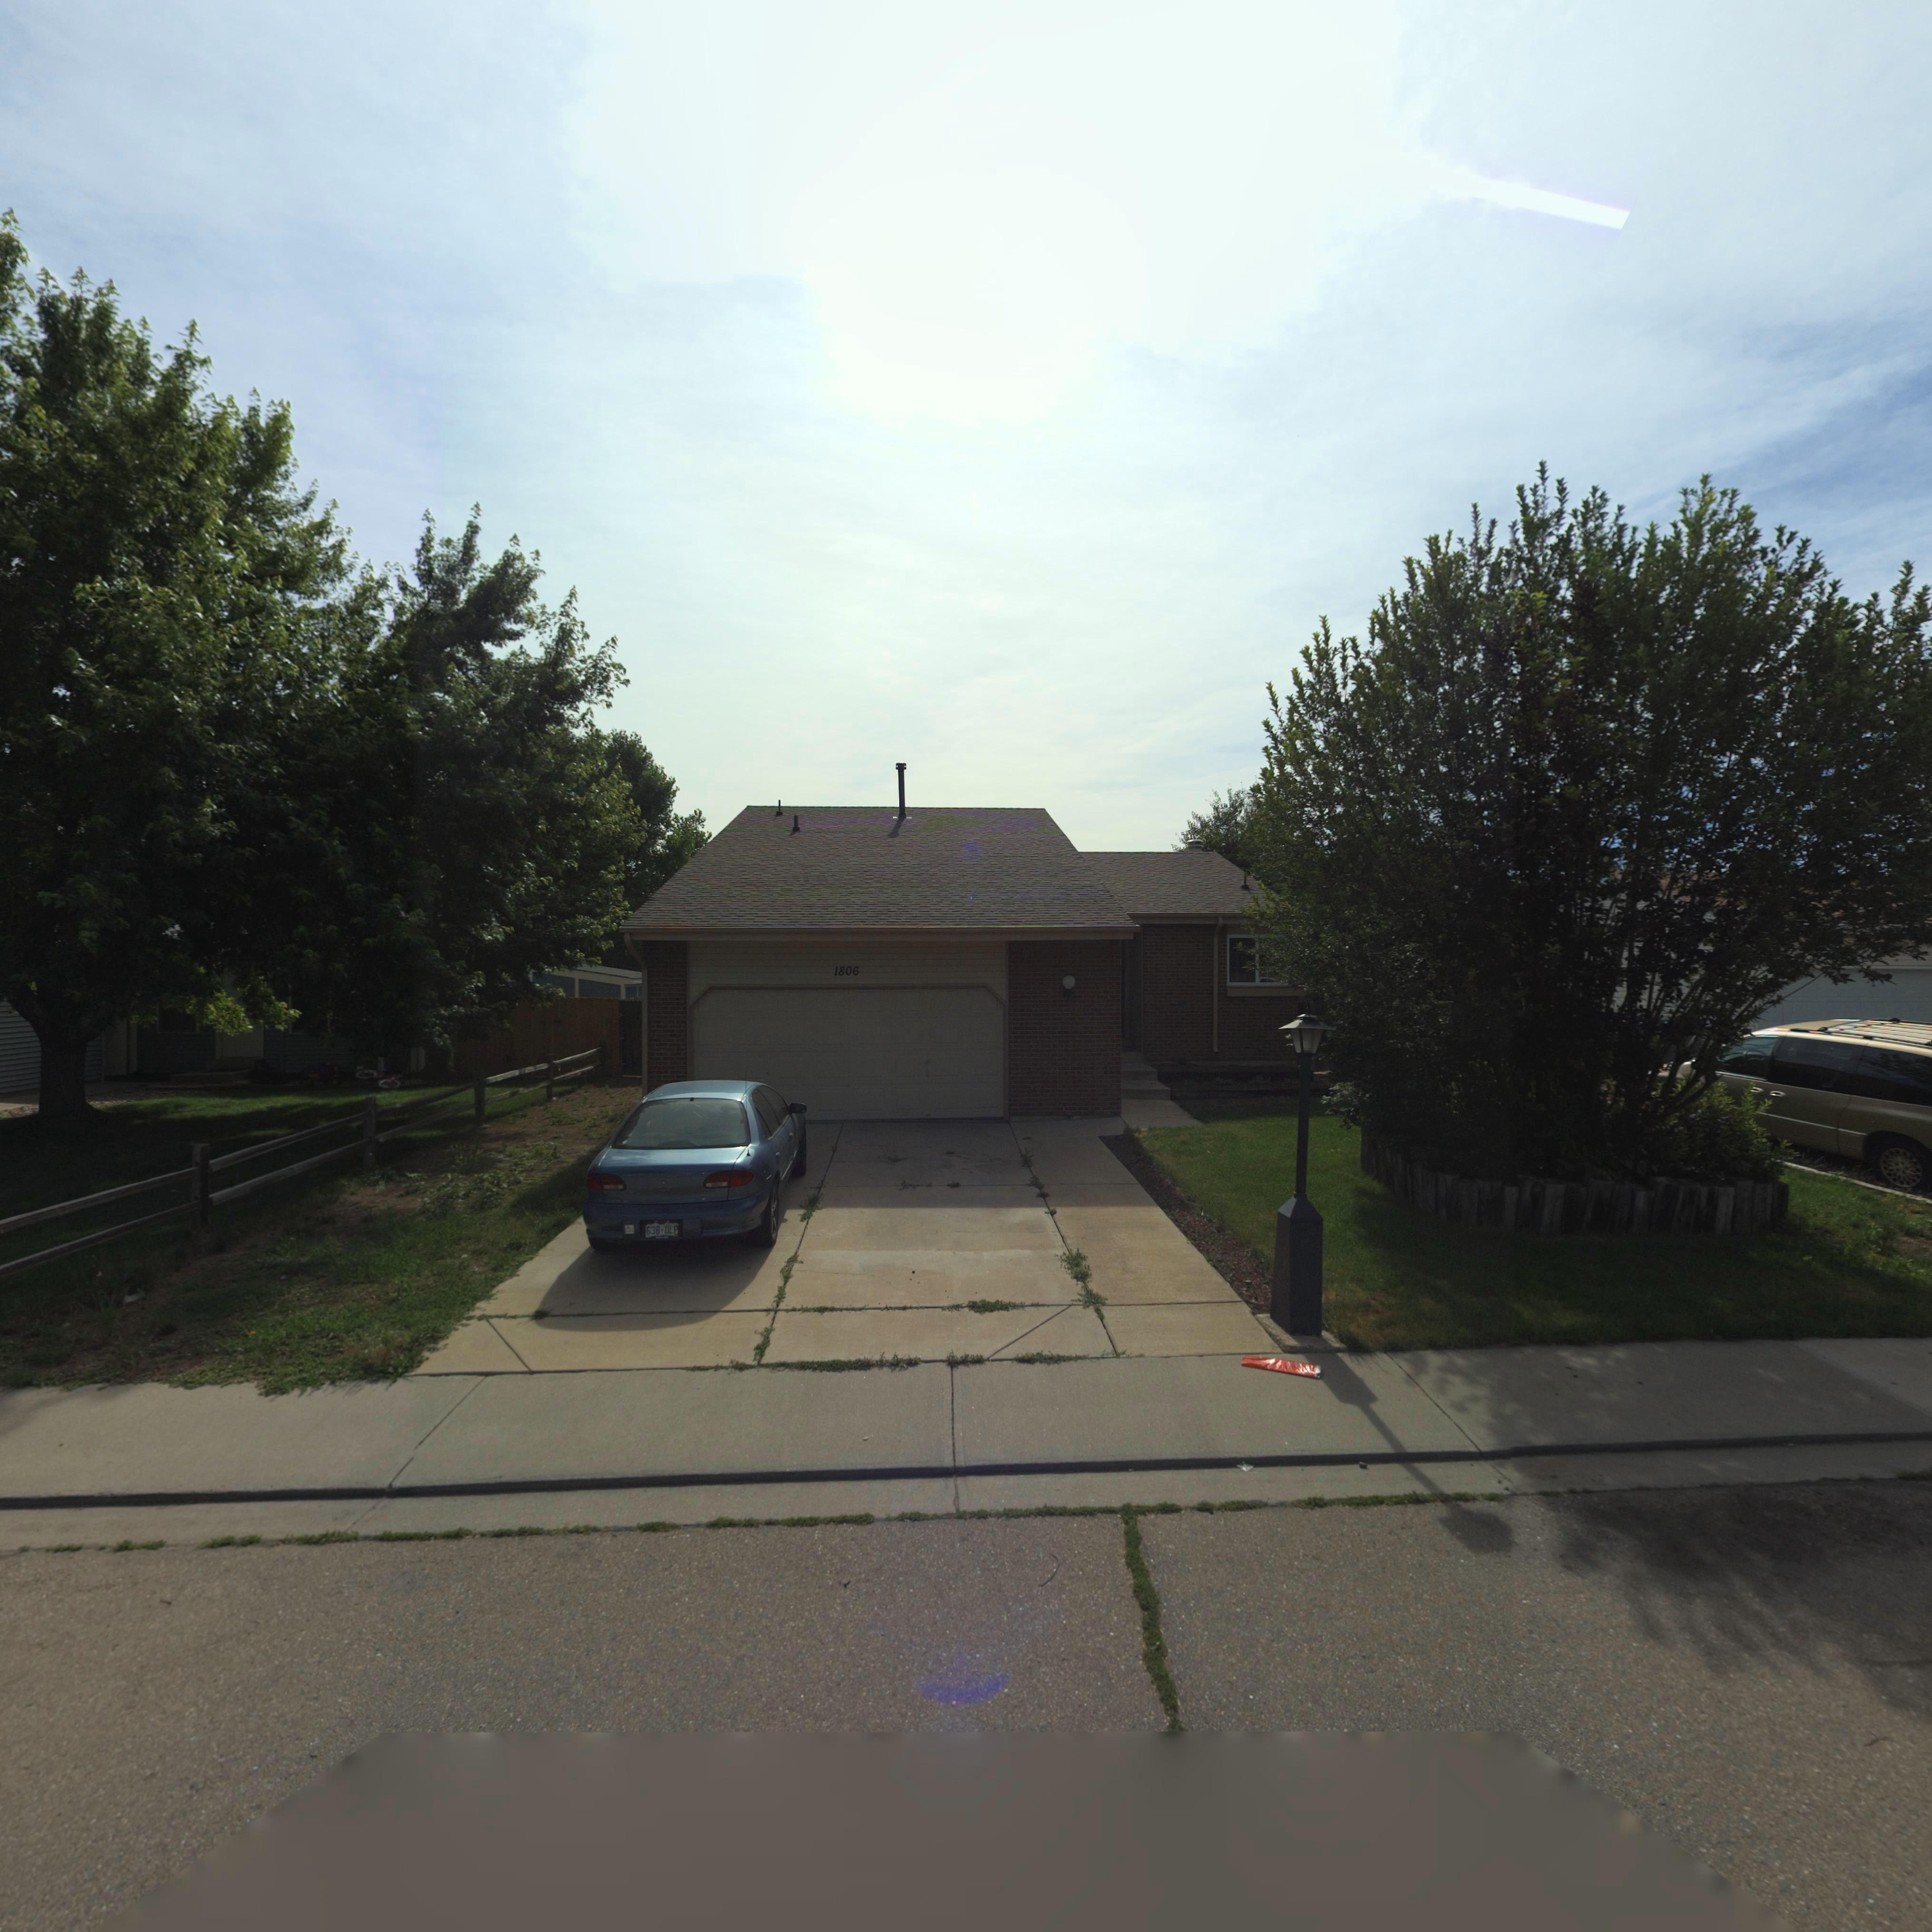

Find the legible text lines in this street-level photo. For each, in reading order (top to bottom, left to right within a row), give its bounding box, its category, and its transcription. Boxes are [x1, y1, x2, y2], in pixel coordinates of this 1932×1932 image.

[834, 966, 859, 976] StreetNumber: 1806